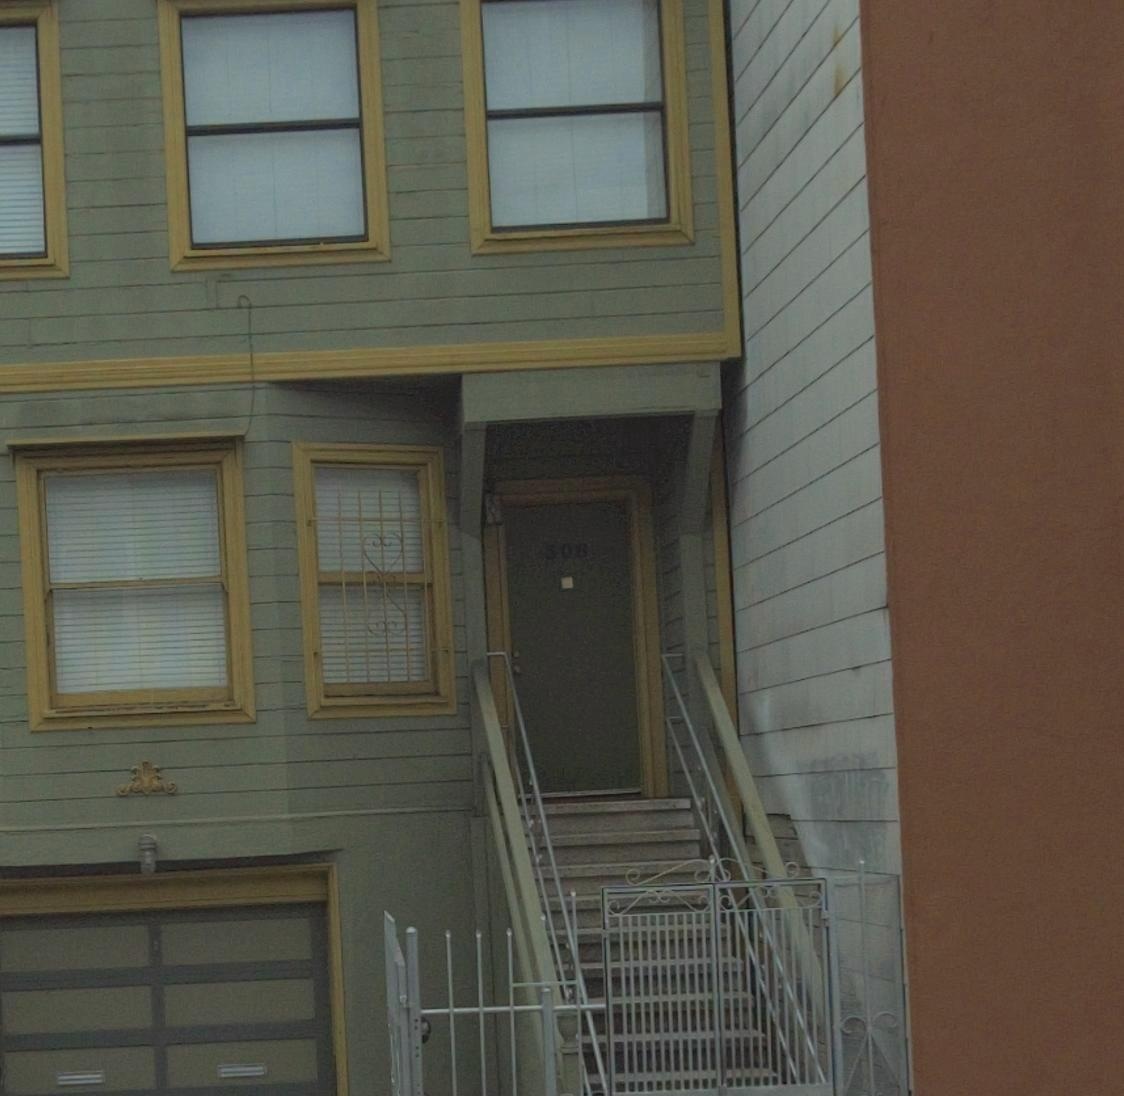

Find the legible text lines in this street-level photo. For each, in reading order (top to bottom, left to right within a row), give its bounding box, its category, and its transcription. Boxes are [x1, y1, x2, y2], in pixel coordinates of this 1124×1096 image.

[544, 541, 589, 562] StreetNumber: 308